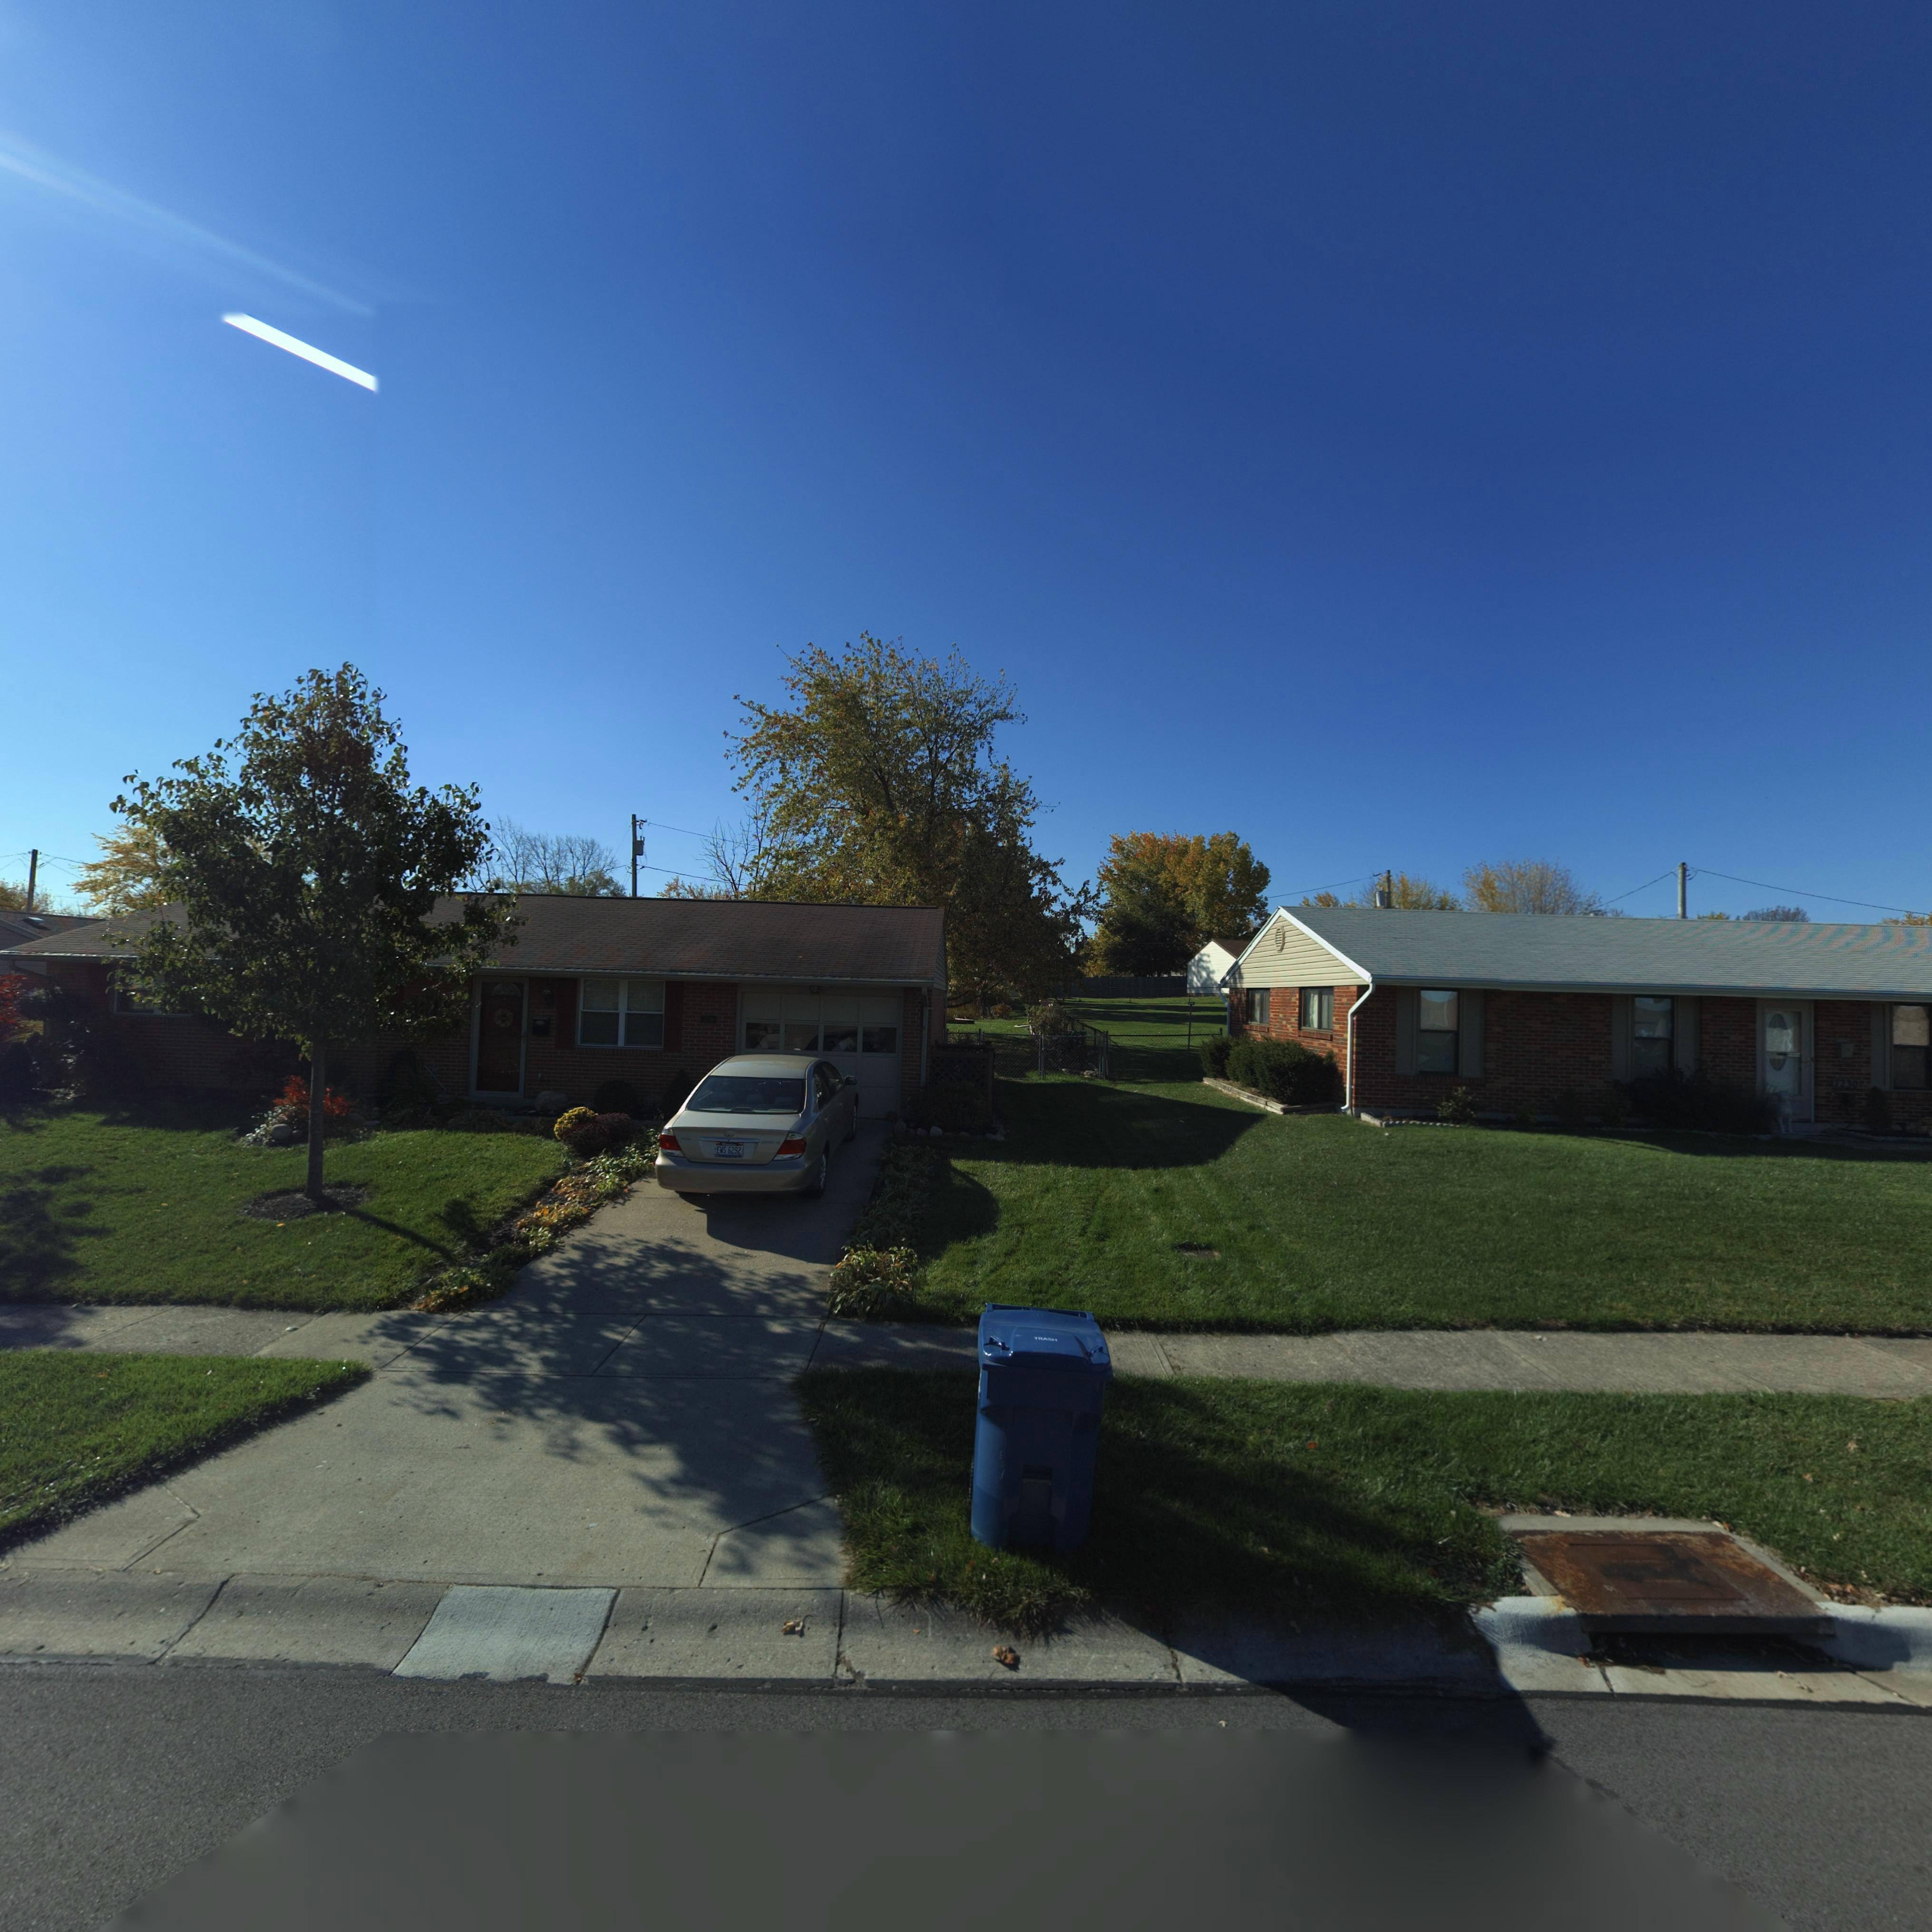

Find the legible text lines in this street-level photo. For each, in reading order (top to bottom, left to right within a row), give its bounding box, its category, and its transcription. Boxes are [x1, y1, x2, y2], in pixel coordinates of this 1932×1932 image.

[1833, 1078, 1860, 1089] StreetNumber: 7230